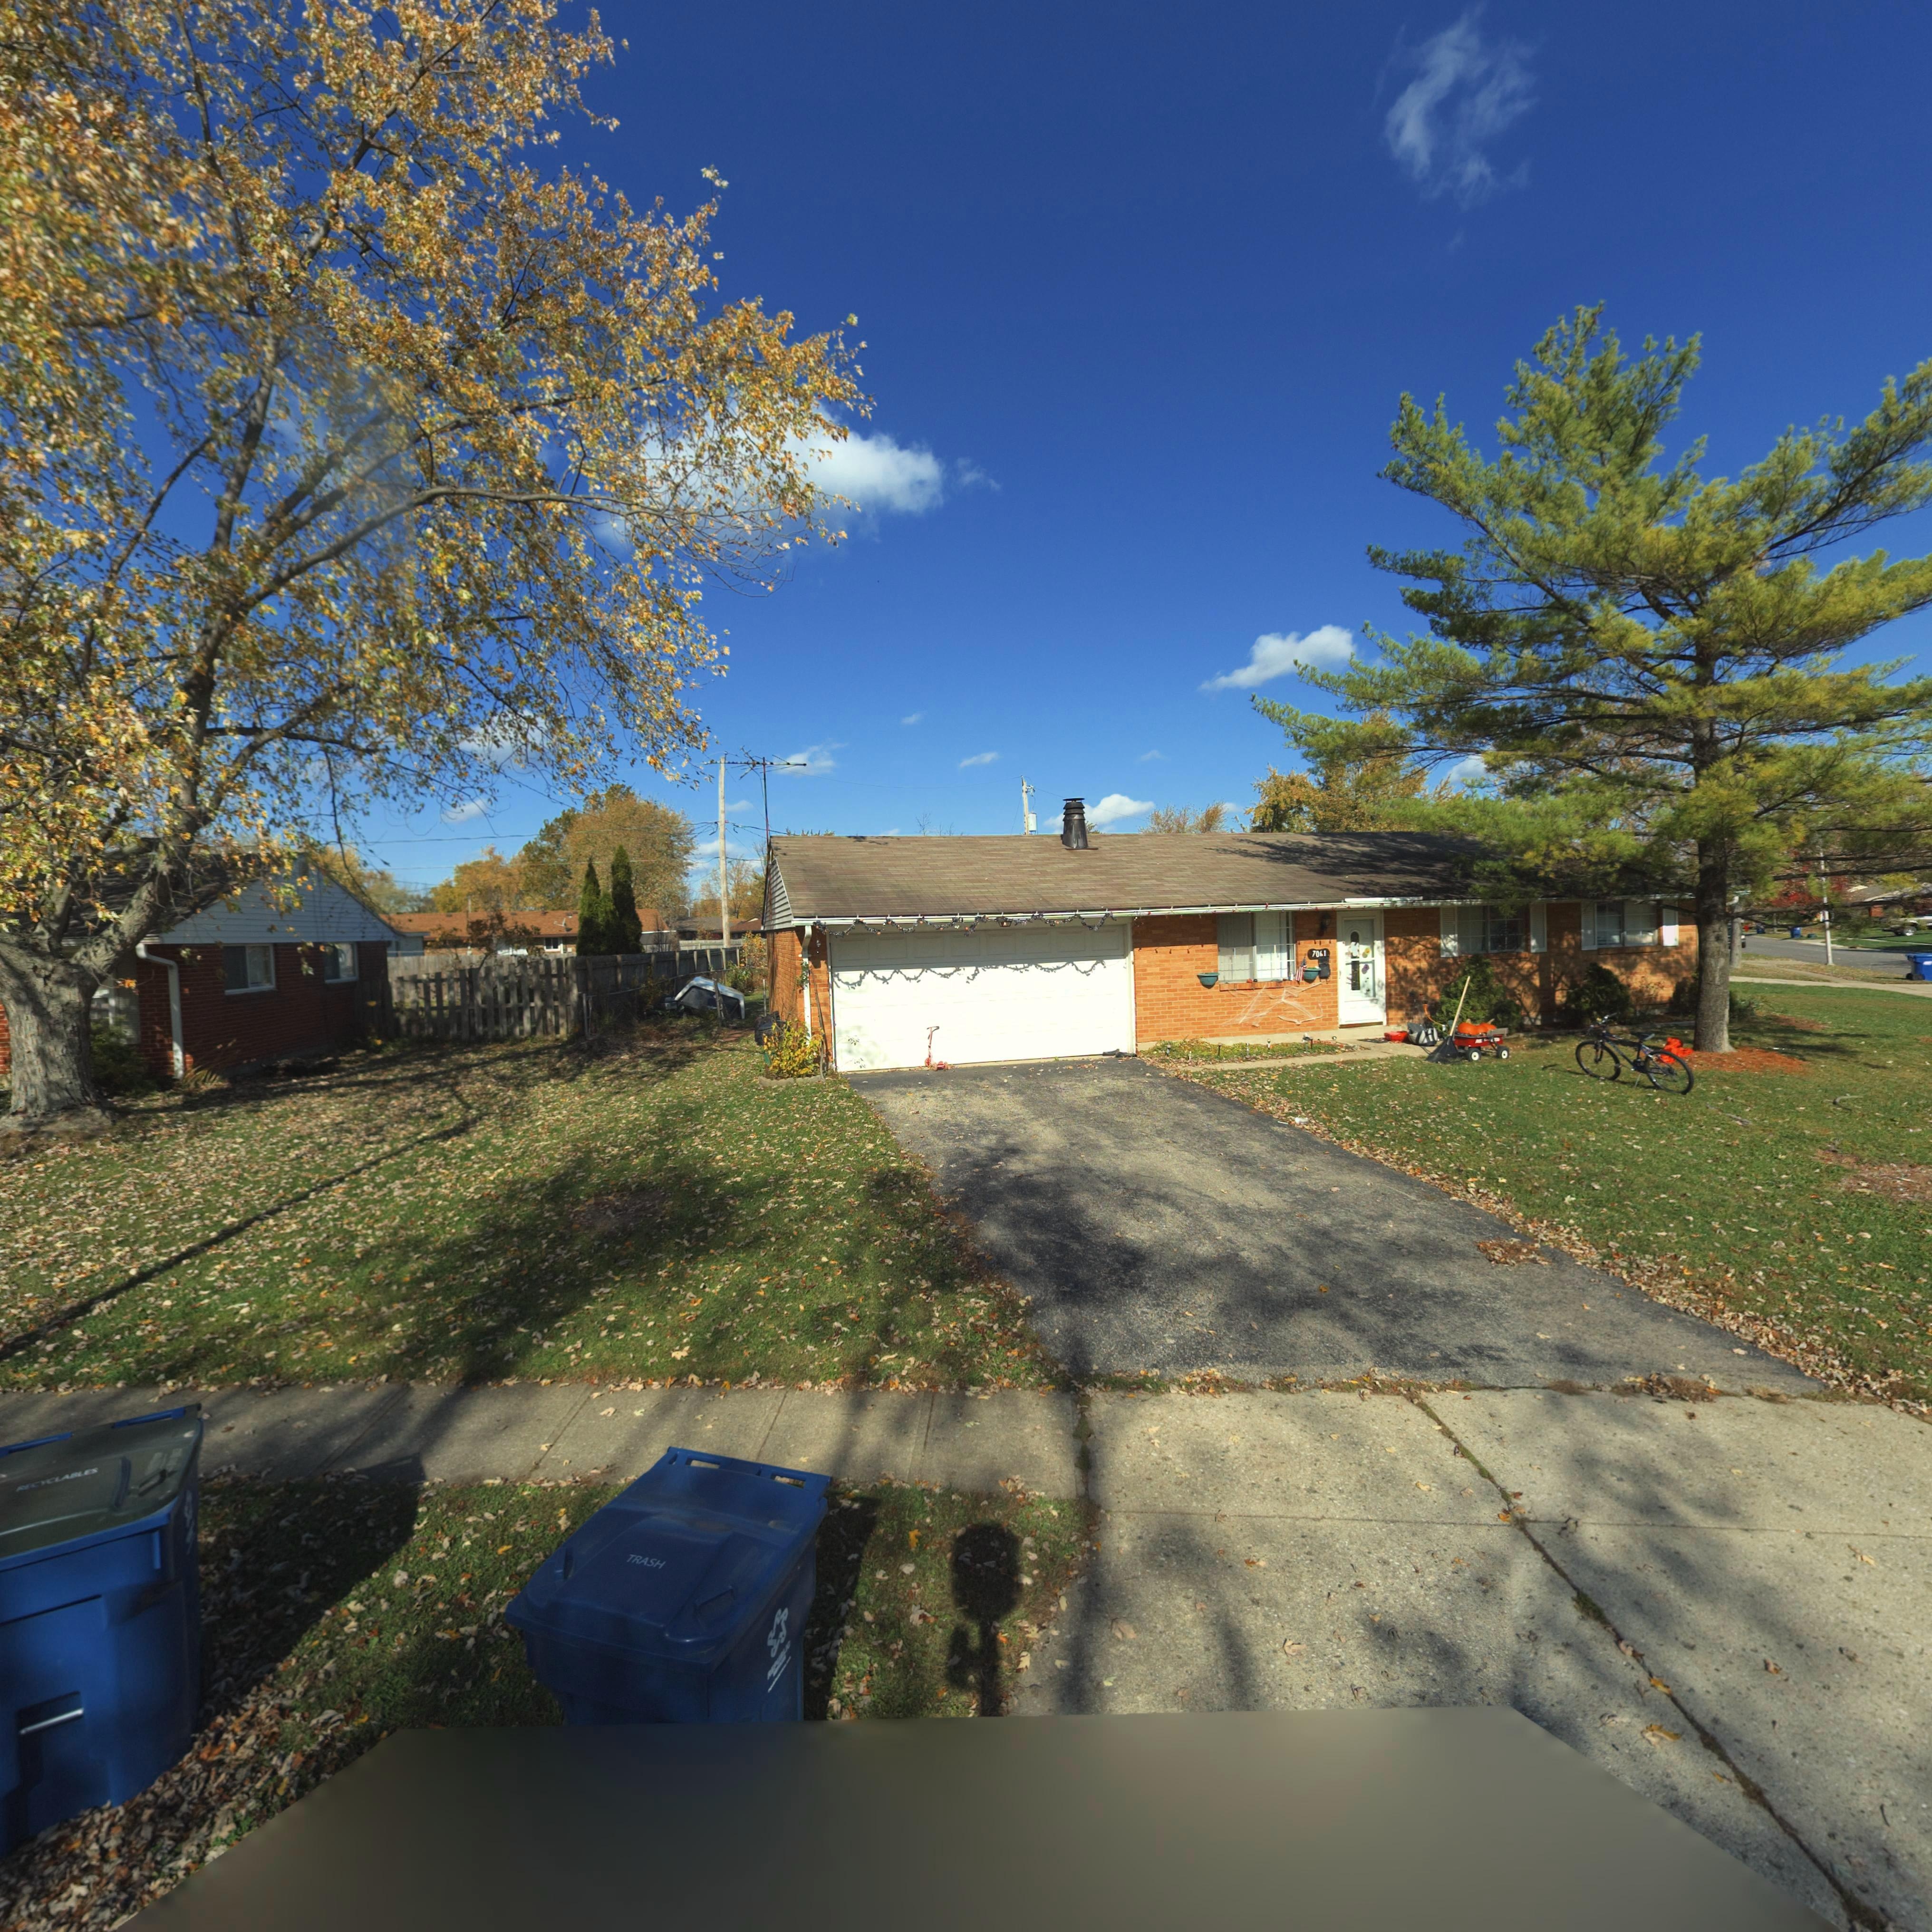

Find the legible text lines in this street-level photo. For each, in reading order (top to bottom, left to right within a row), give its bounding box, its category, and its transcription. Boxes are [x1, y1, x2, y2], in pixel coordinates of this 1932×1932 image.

[1311, 949, 1327, 958] StreetNumber: 70**